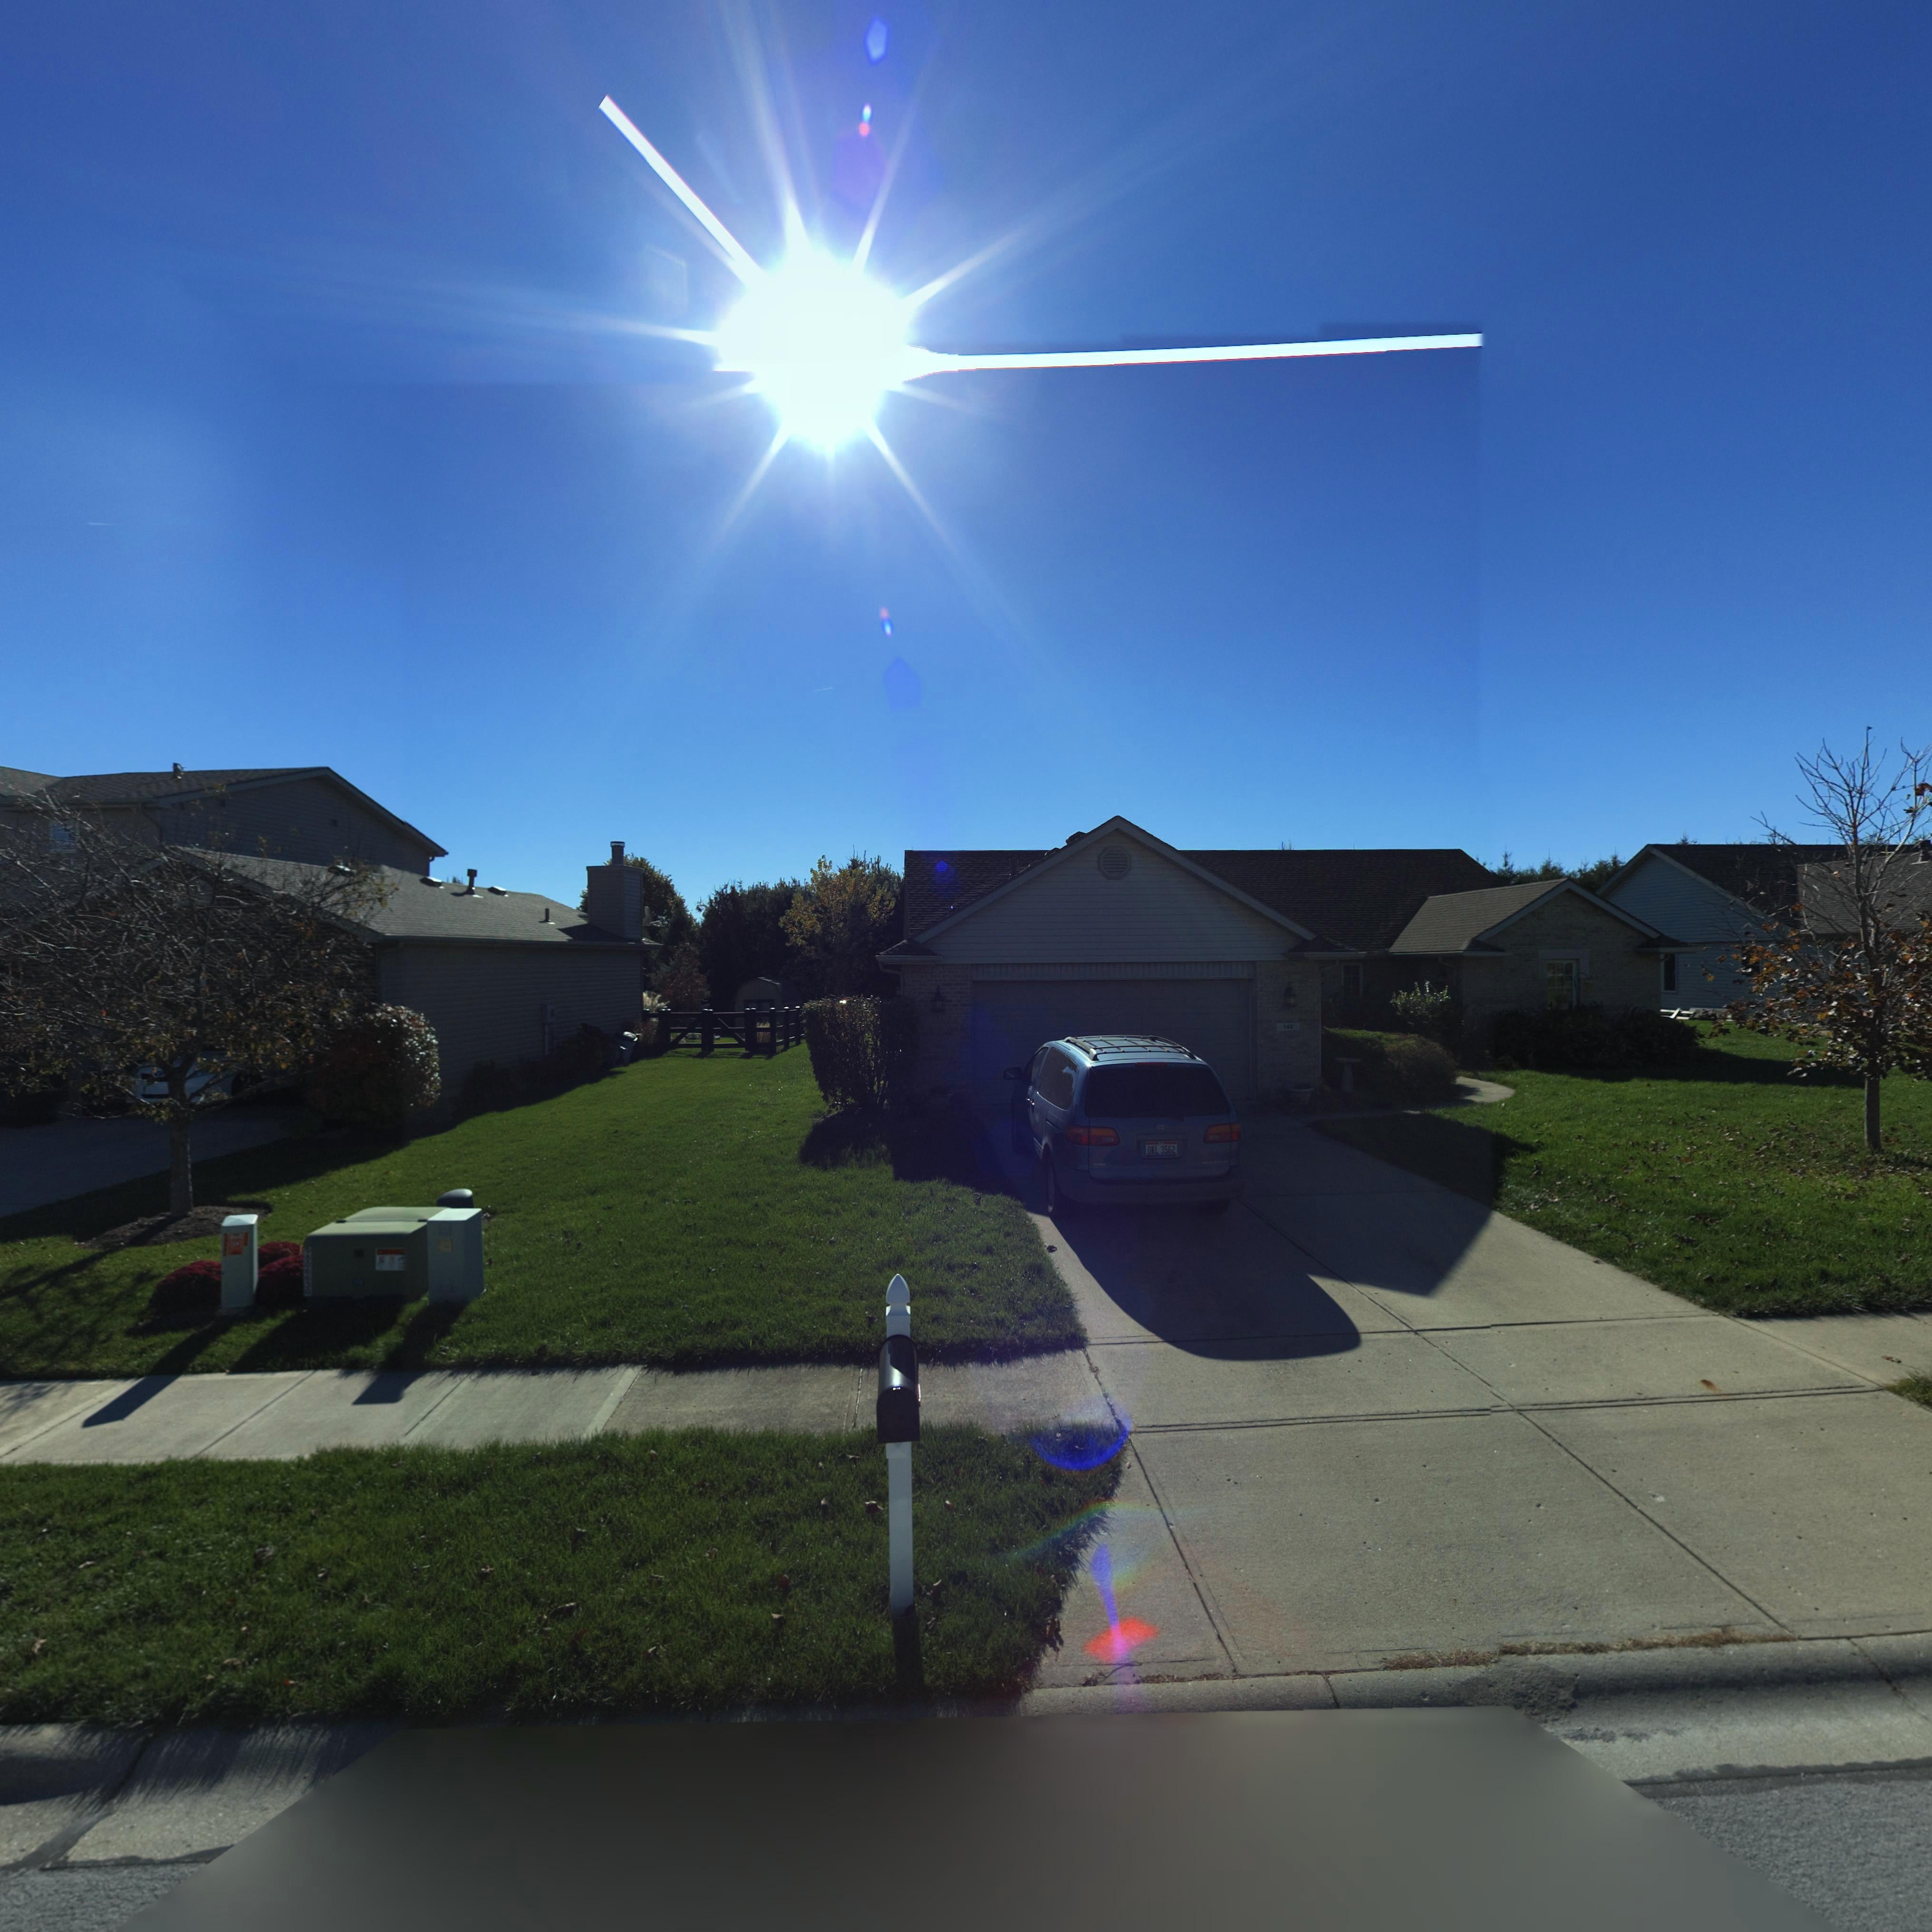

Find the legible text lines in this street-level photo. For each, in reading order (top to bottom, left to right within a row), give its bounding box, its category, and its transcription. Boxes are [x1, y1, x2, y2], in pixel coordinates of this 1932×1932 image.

[1283, 1024, 1293, 1030] StreetNumber: 145
[1147, 1144, 1176, 1155] None: DKL 3562